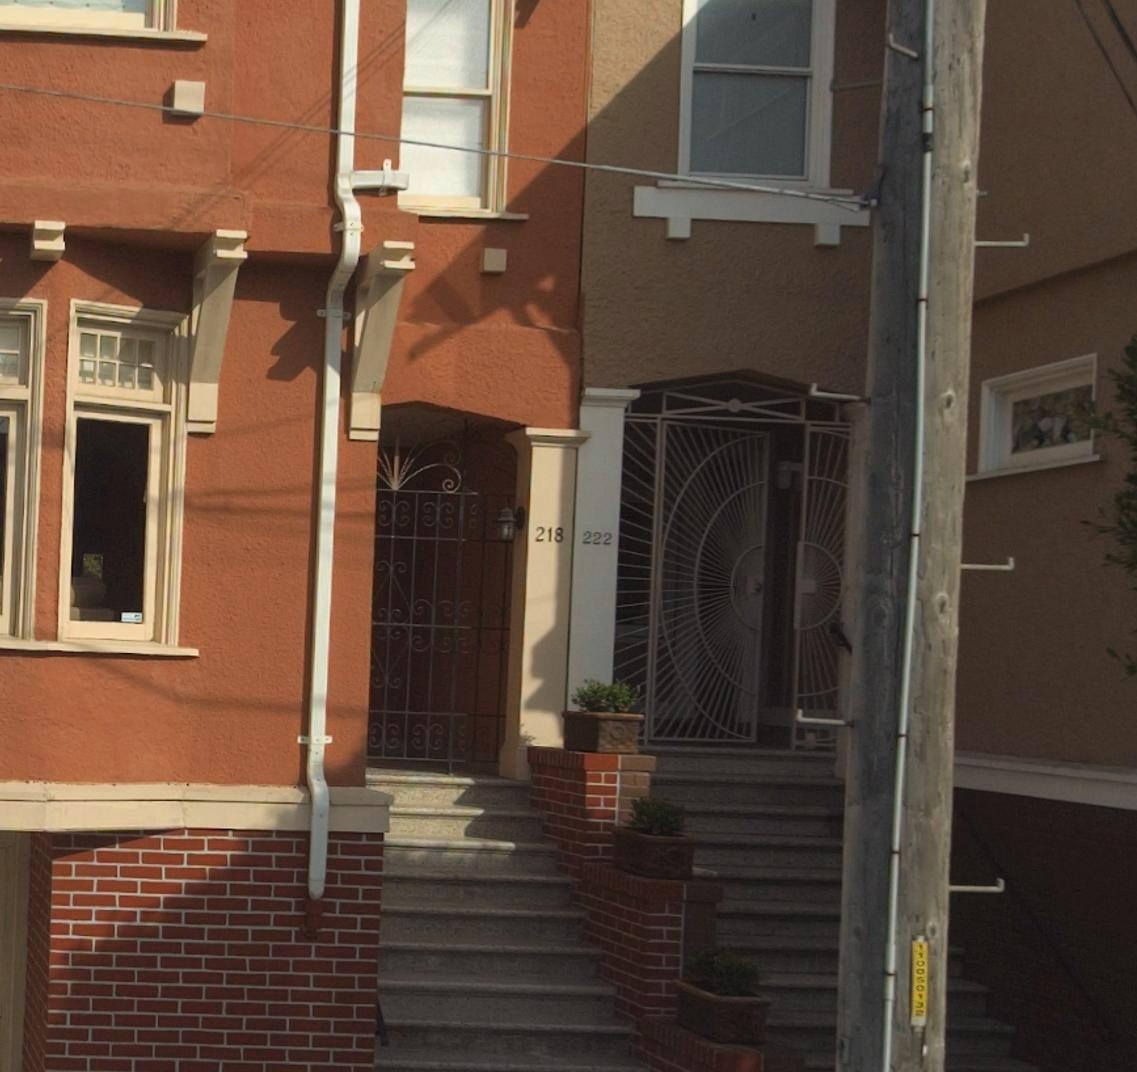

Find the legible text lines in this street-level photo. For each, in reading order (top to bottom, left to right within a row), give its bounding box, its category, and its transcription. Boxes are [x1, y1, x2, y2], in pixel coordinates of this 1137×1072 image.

[535, 525, 565, 544] StreetNumber: 218
[581, 530, 613, 546] StreetNumber: 222
[912, 940, 927, 1020] None: 110060132